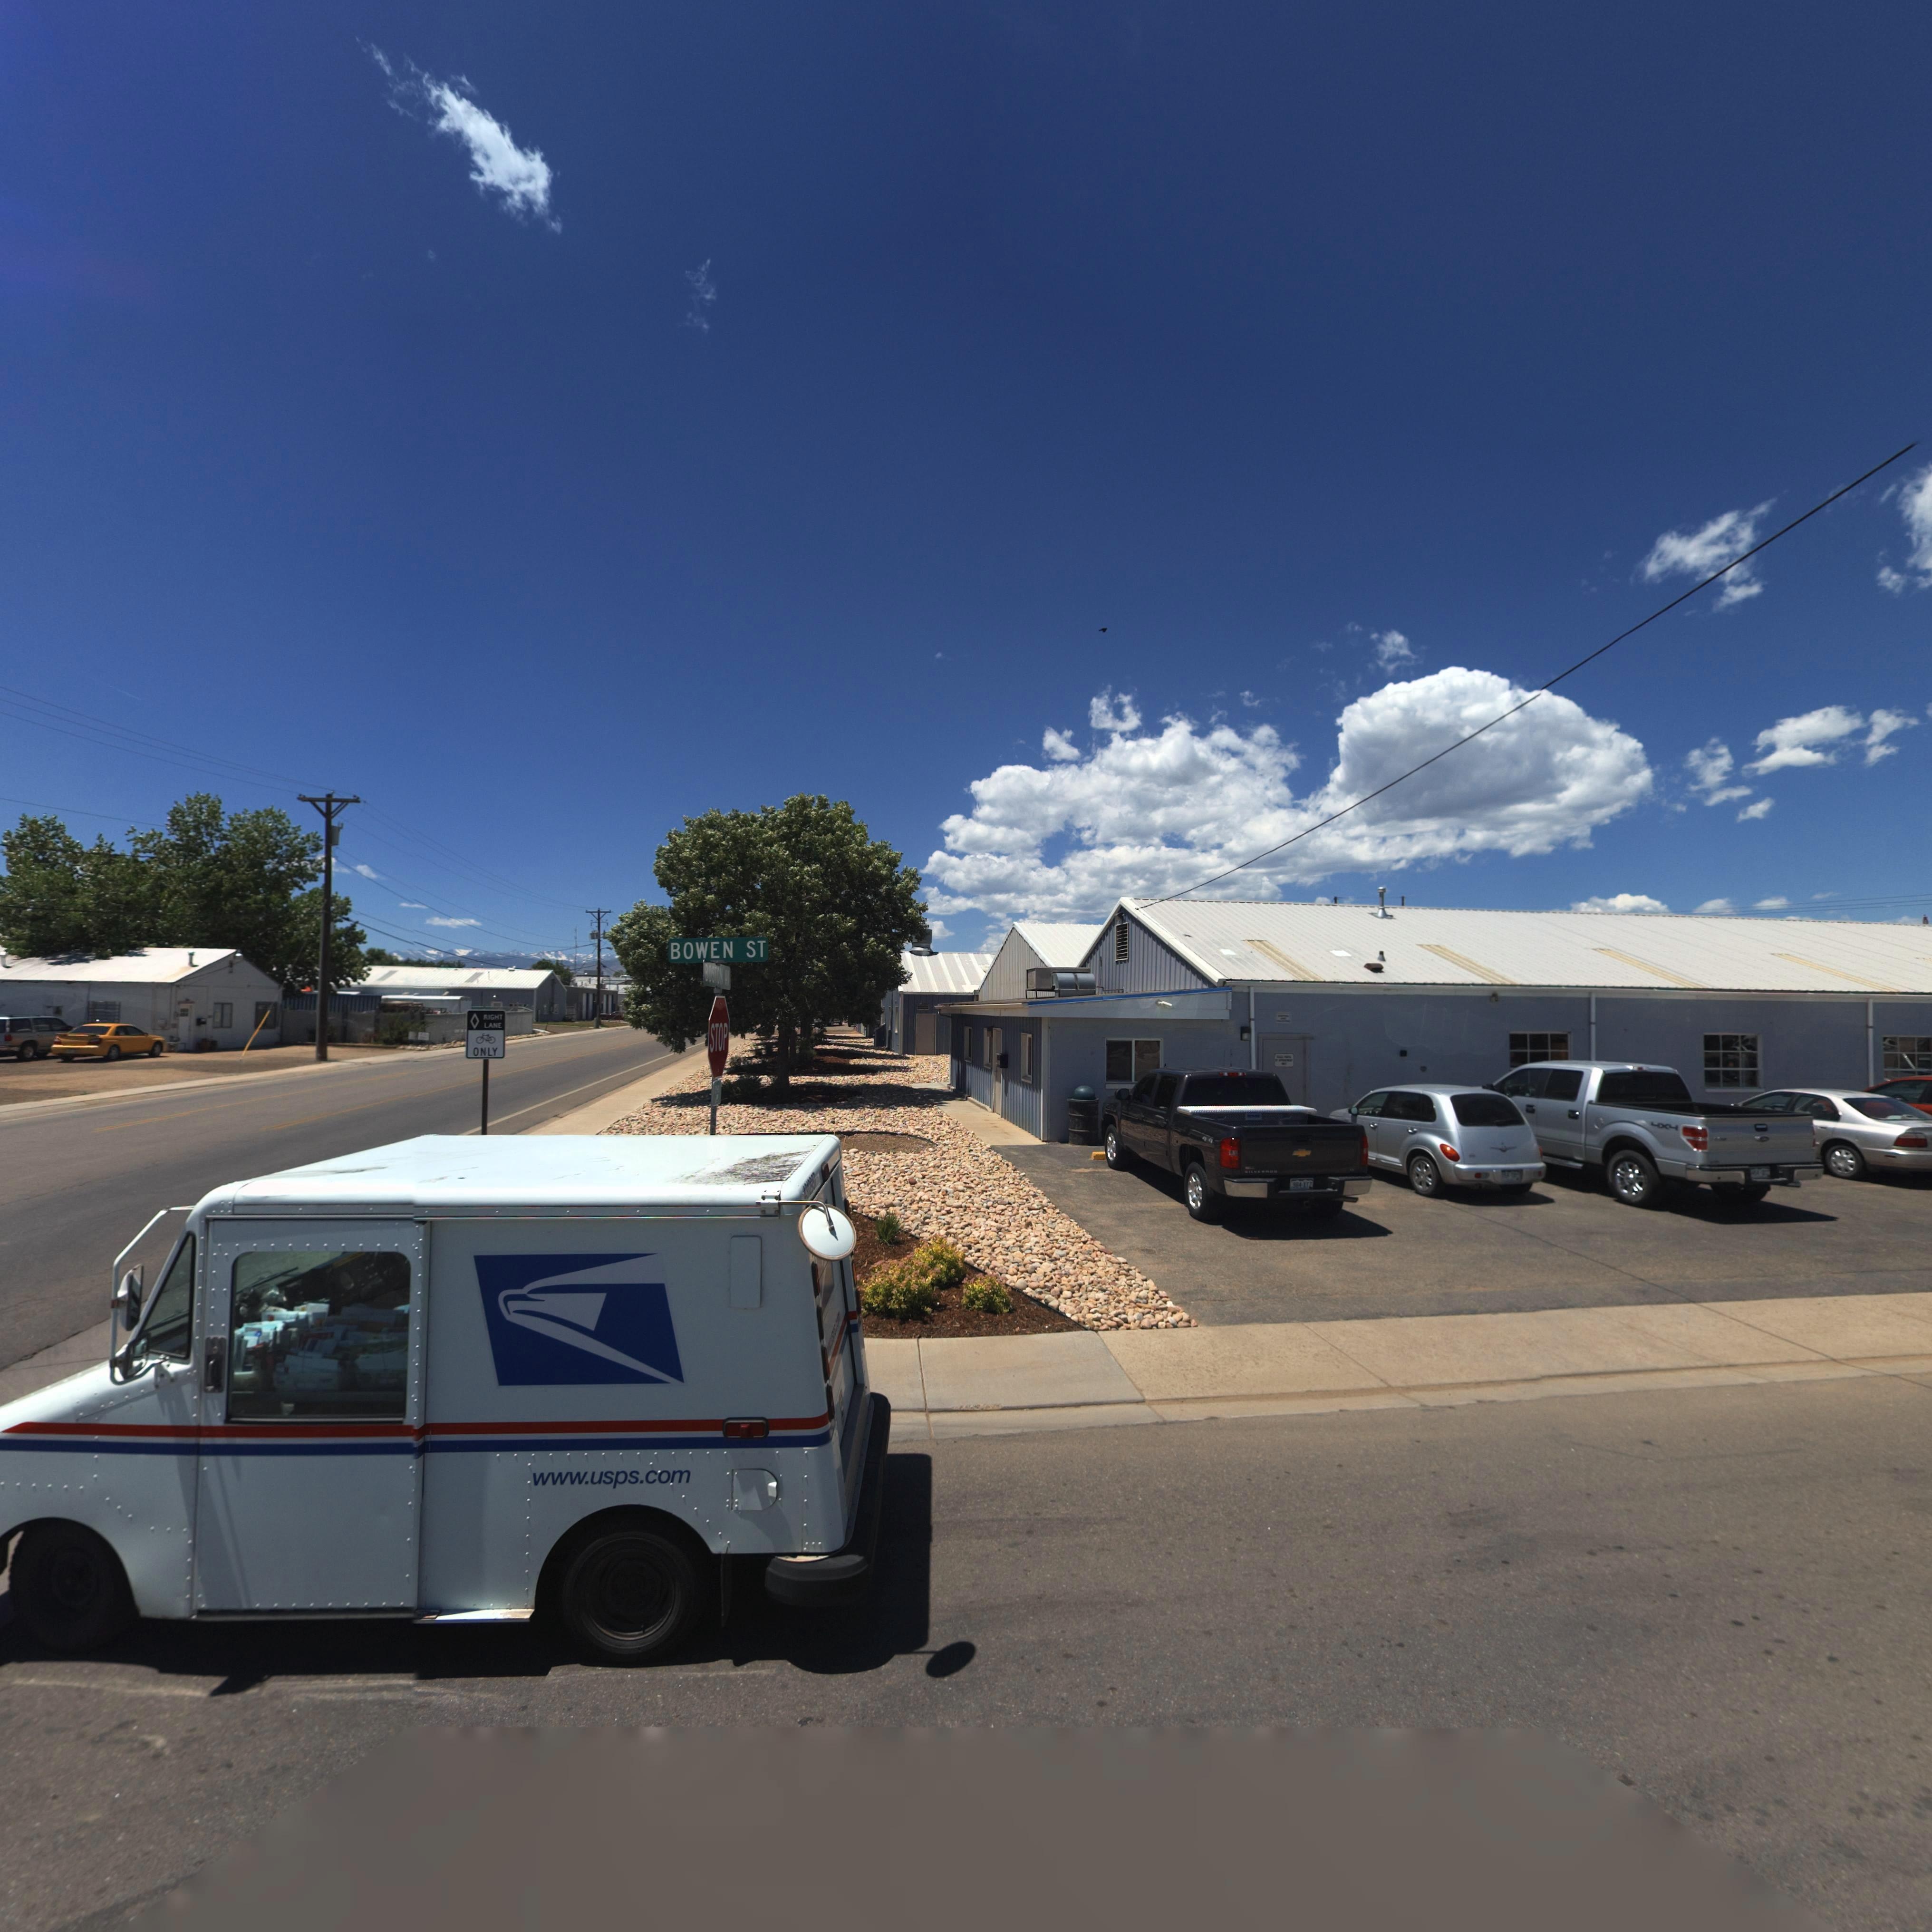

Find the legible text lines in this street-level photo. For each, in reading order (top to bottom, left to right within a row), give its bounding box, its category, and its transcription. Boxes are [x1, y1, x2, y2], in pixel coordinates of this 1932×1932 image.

[669, 940, 766, 960] StreetName: BOWEN ST
[705, 963, 730, 986] StreetName: BOSTON AV